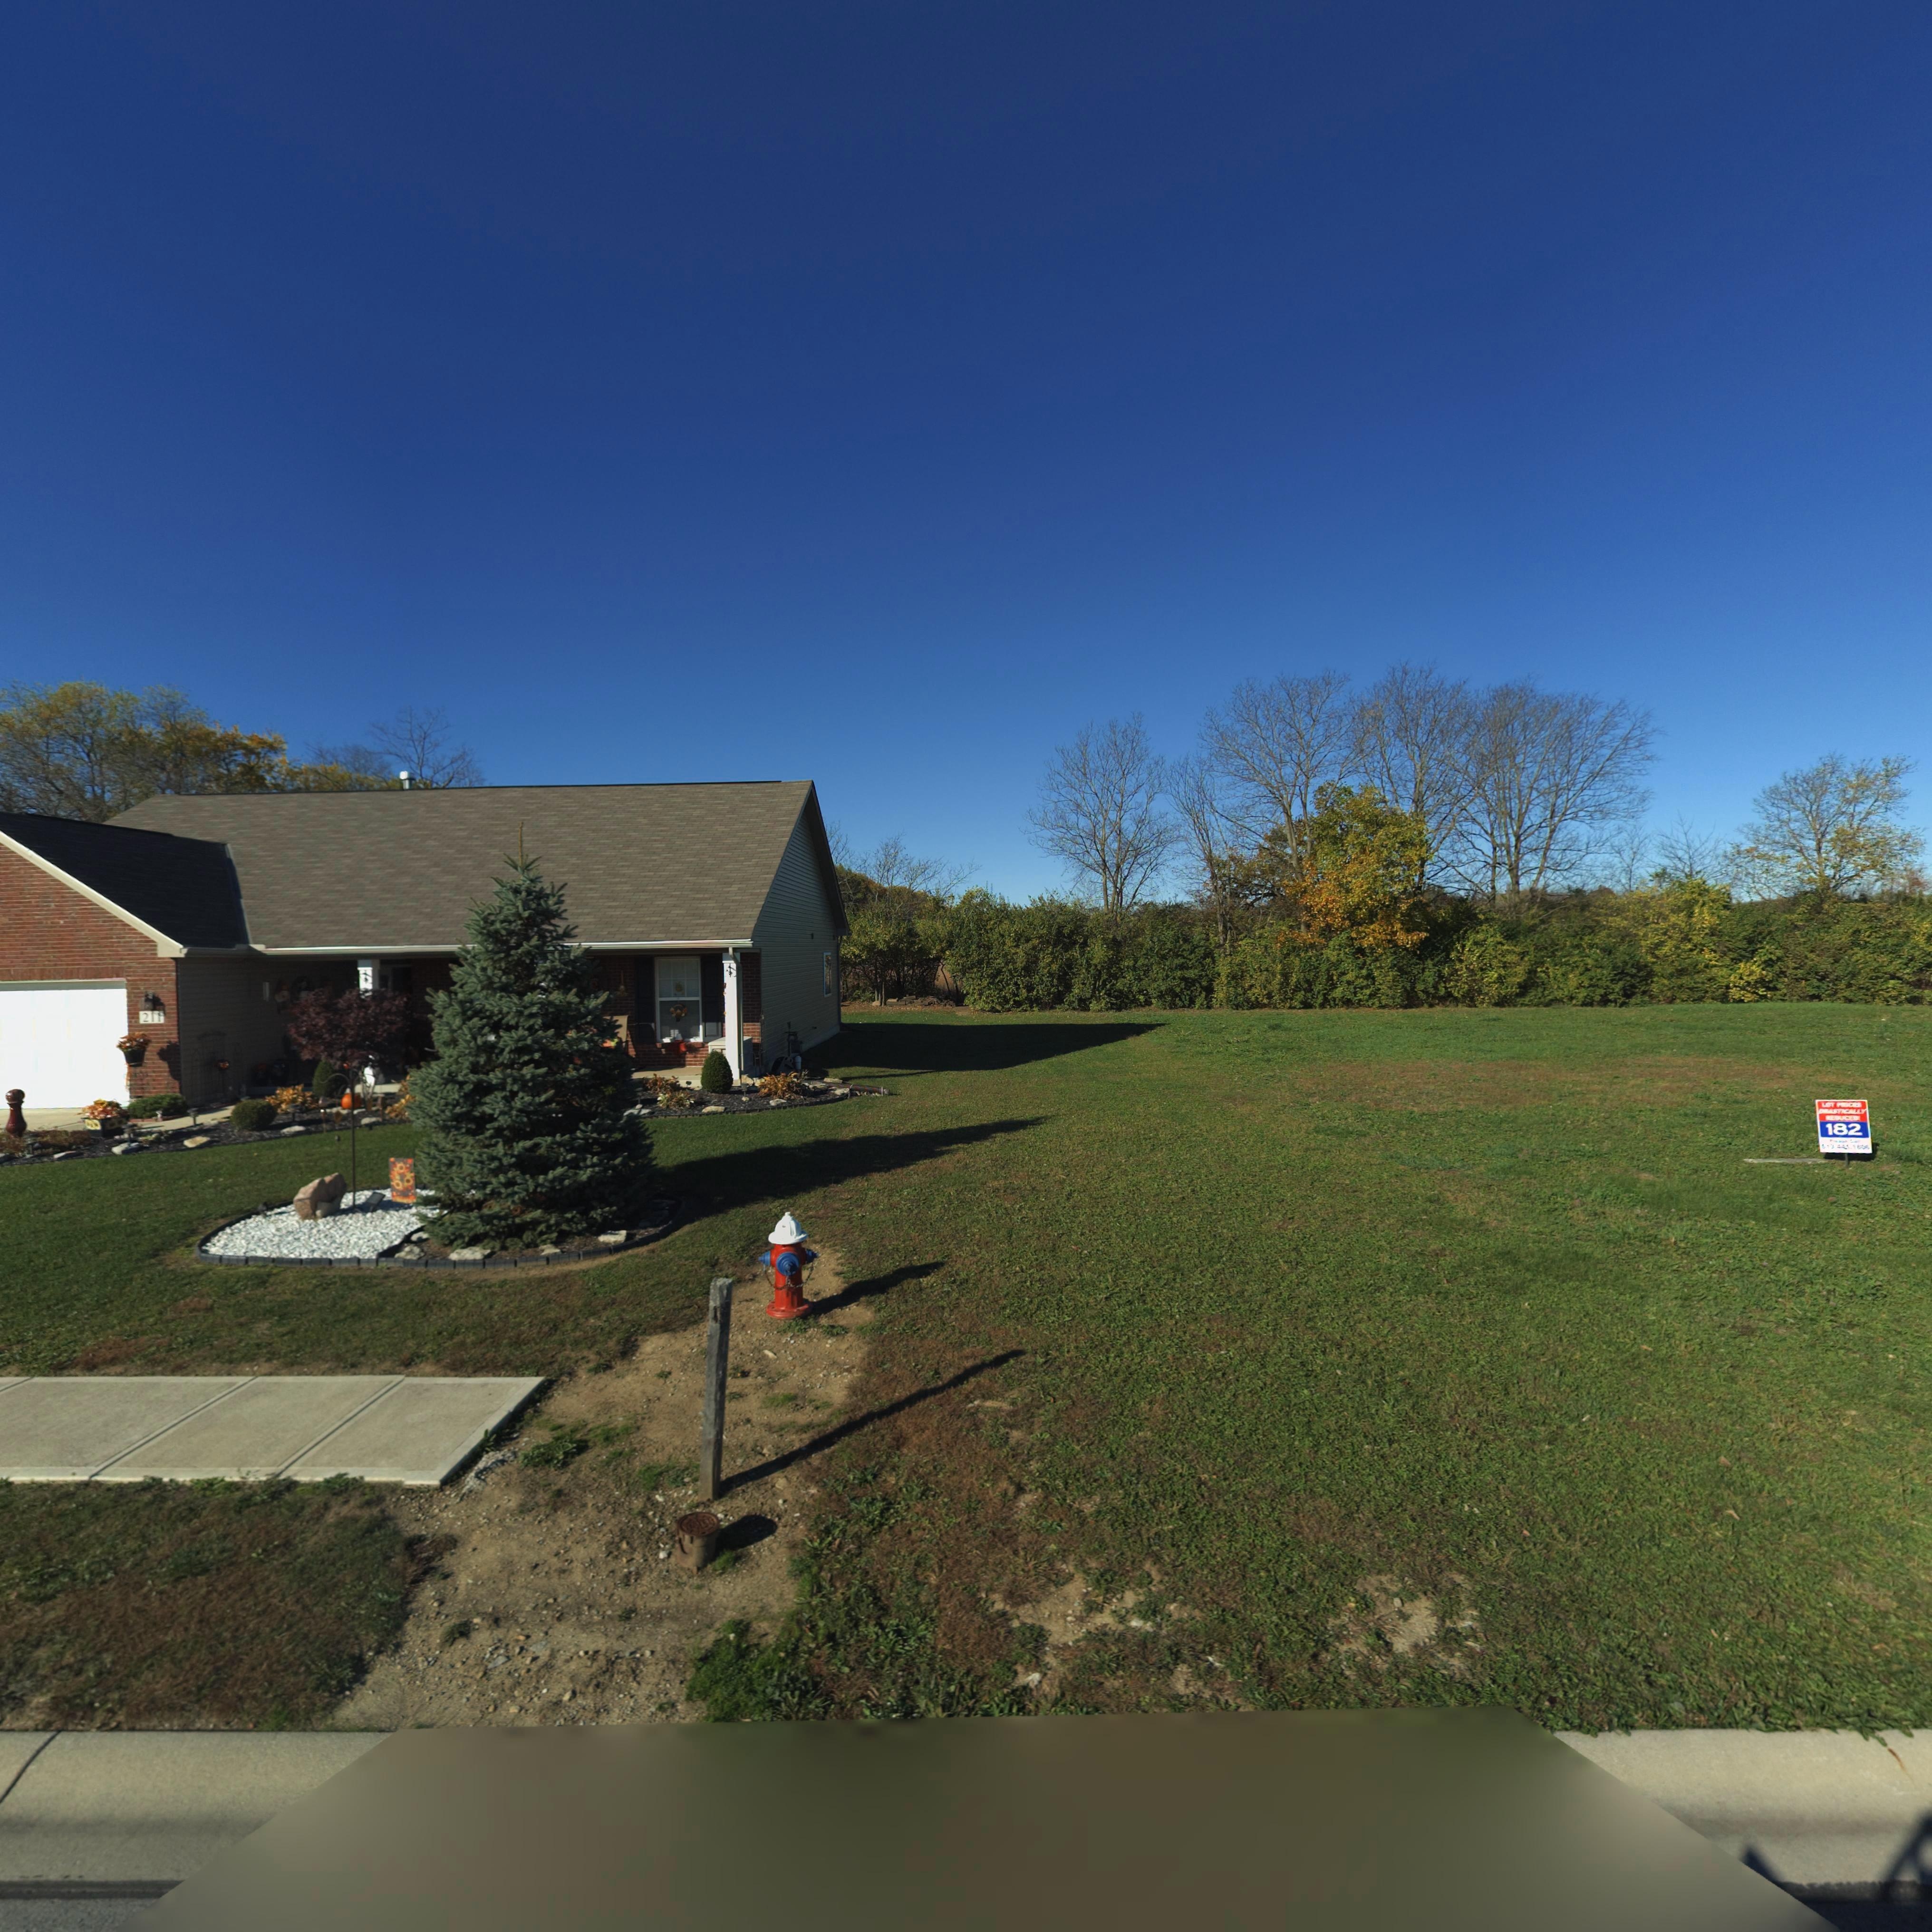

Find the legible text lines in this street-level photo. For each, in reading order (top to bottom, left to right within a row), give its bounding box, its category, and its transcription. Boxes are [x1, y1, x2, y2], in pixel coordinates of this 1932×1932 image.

[141, 1011, 164, 1024] StreetNumber: 211